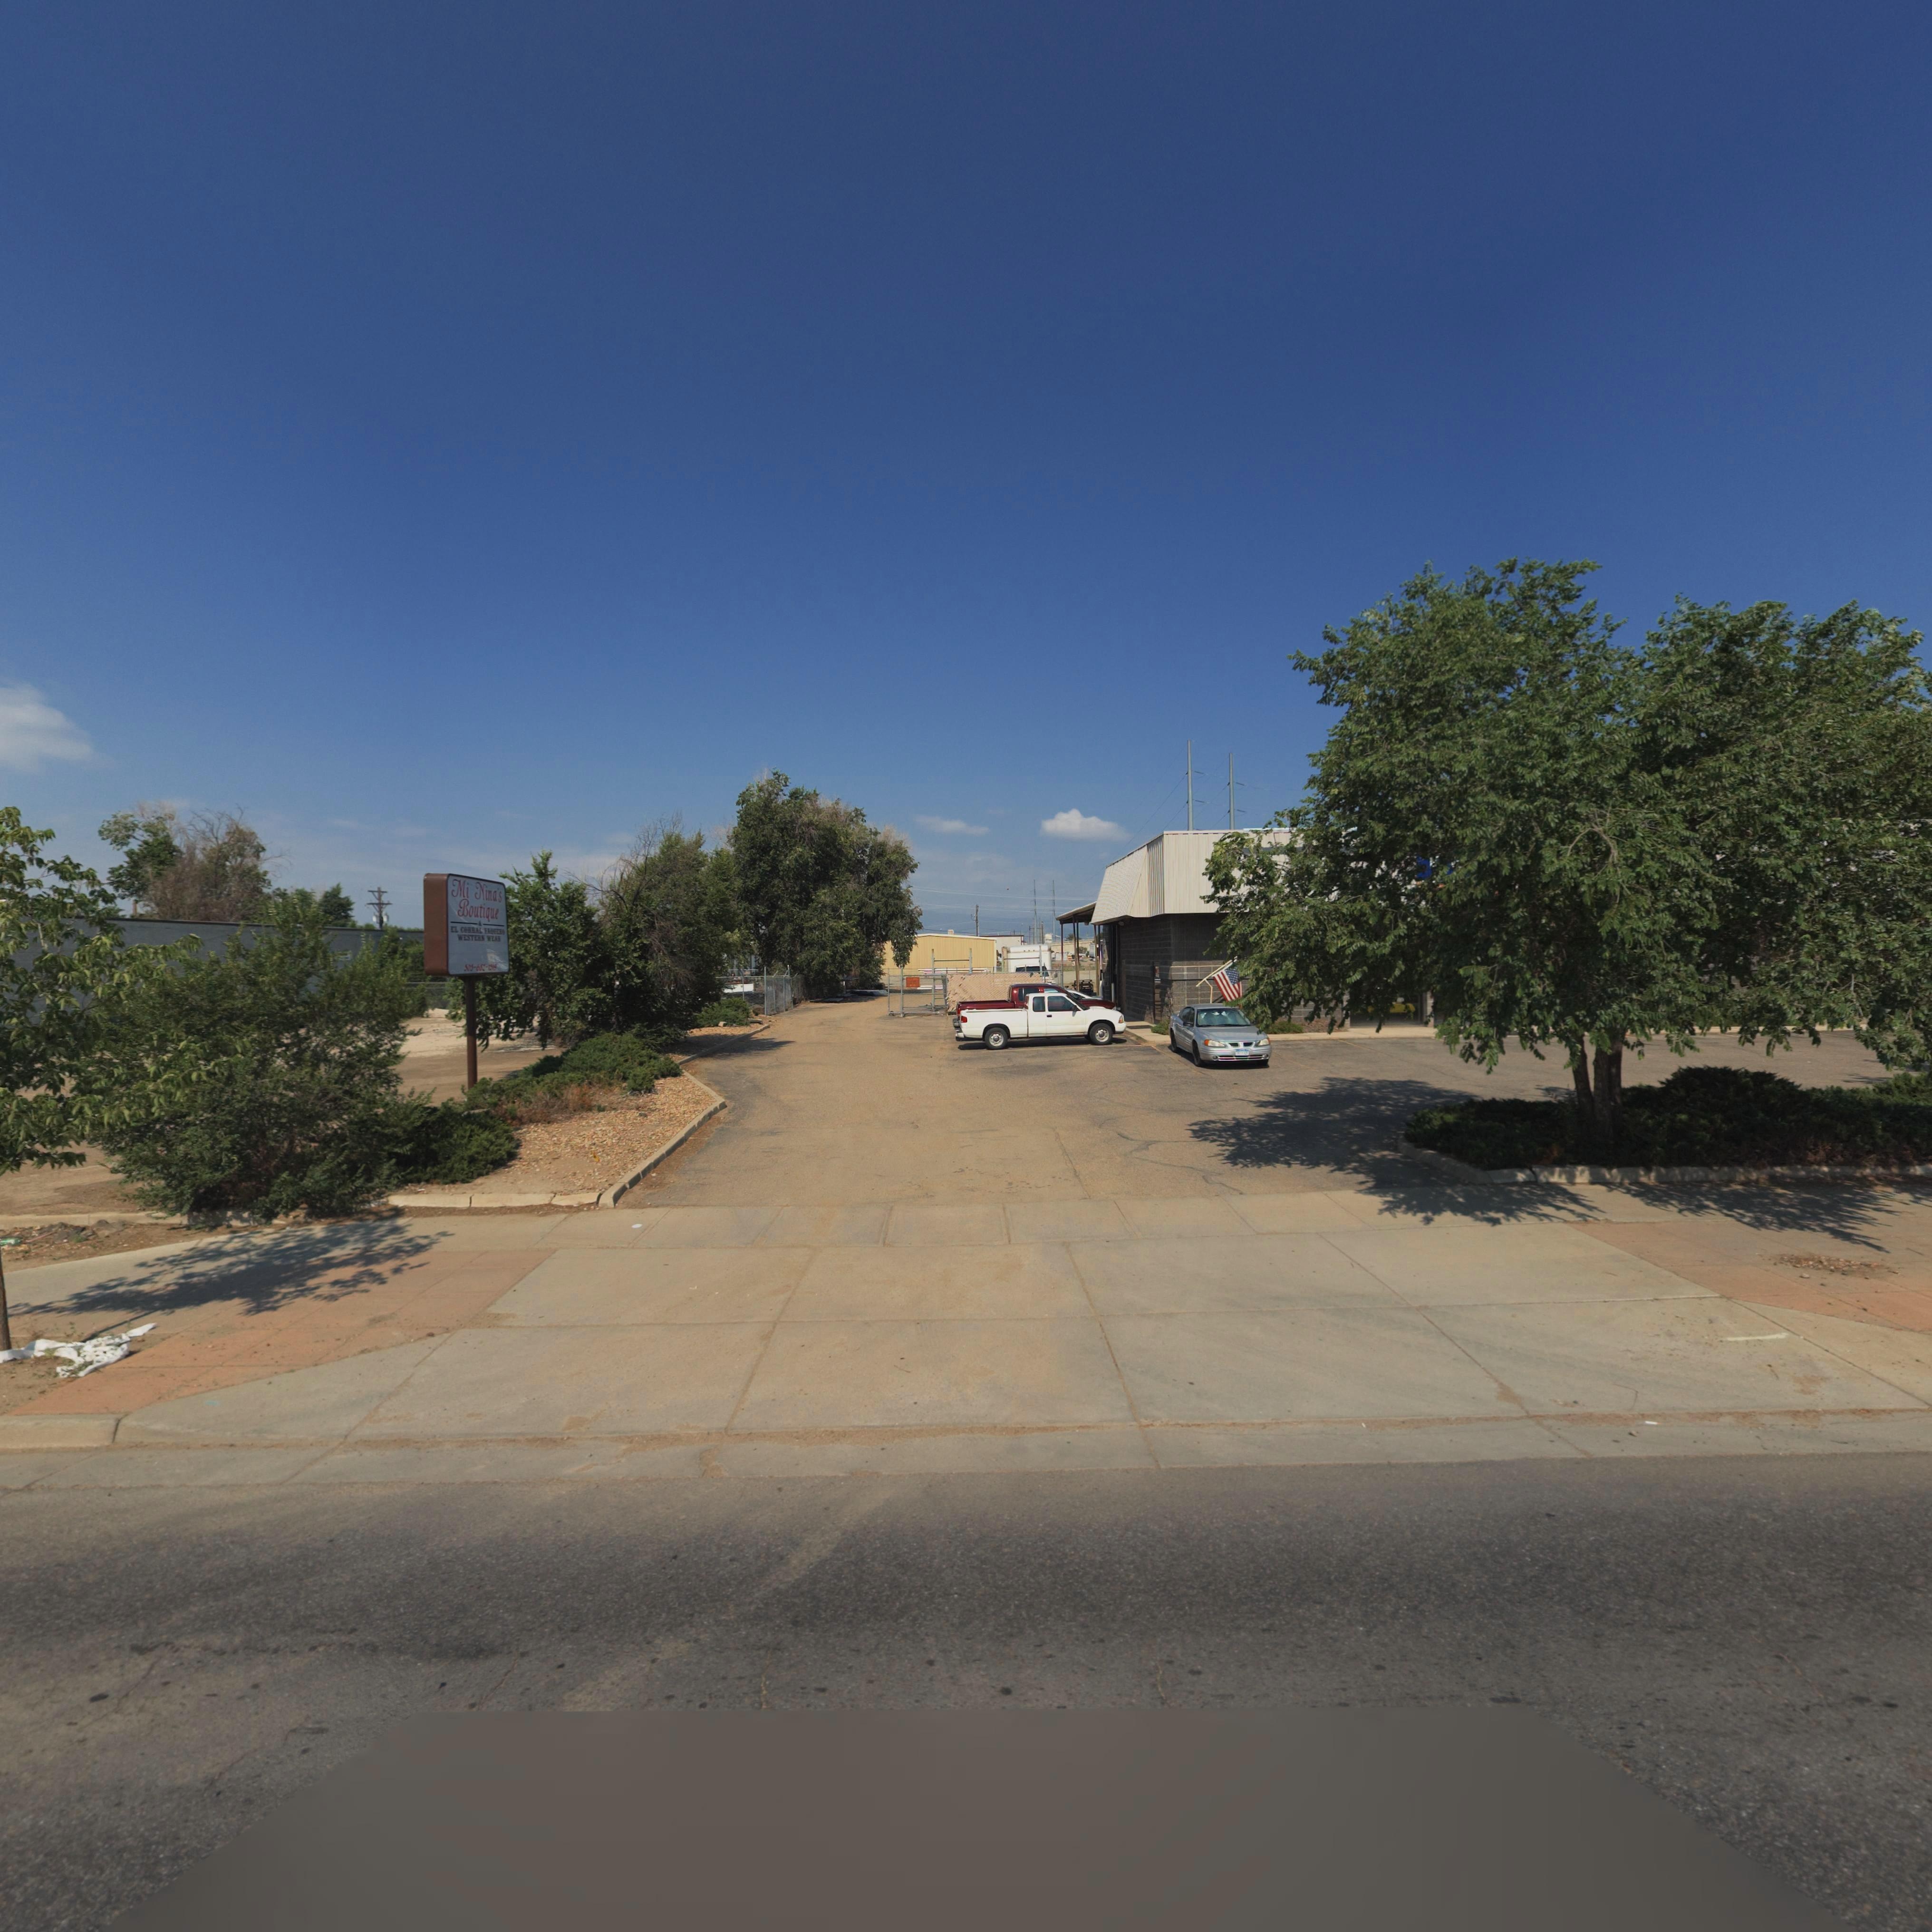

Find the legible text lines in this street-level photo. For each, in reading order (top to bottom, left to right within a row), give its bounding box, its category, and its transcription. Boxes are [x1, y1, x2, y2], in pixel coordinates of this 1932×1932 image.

[451, 879, 502, 902] BusinessName: Mi Nina*s
[457, 898, 499, 922] BusinessName: Boutique